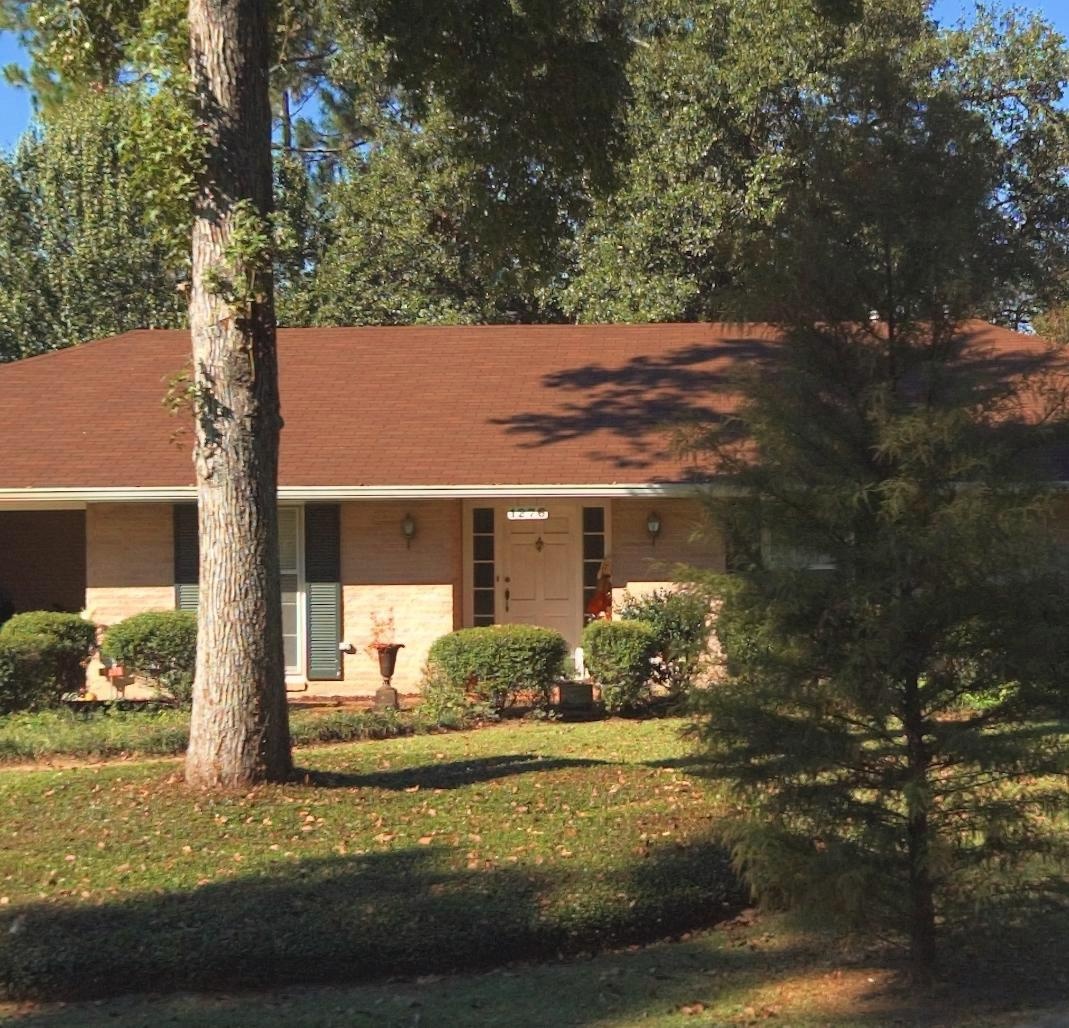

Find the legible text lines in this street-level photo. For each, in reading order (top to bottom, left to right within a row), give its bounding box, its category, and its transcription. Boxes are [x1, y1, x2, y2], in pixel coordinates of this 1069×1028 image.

[508, 506, 547, 520] StreetNumber: 1276